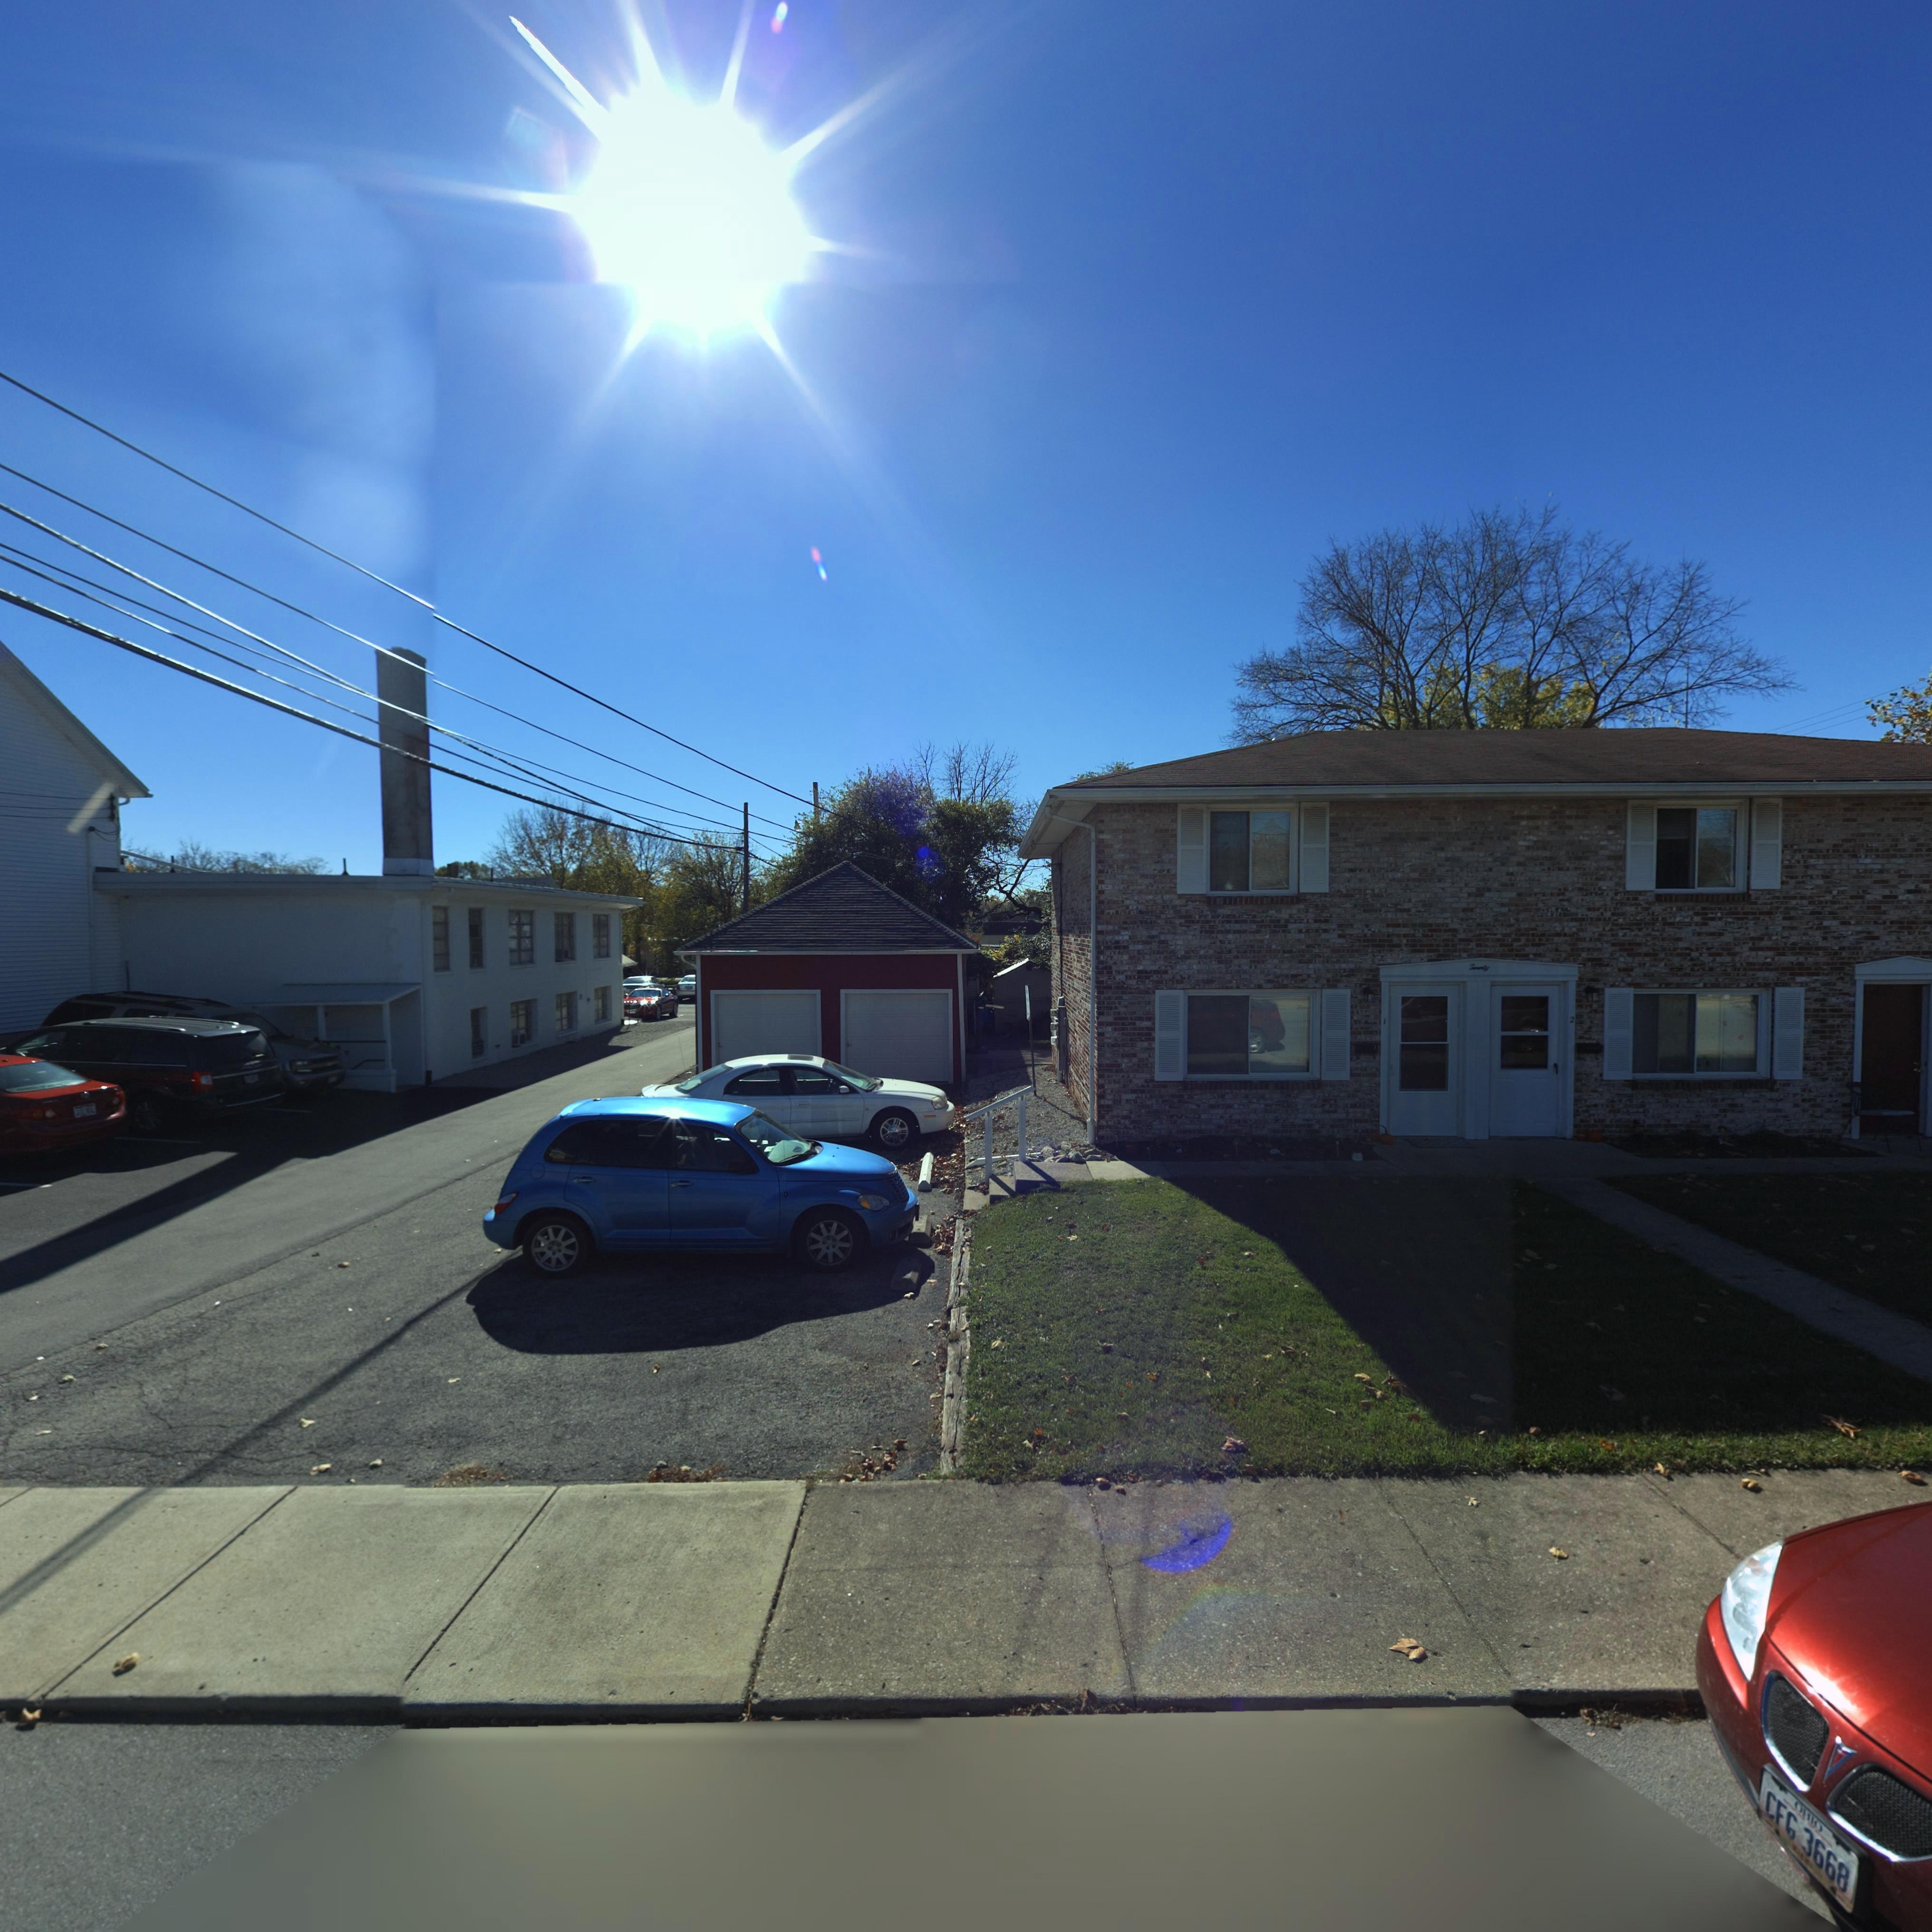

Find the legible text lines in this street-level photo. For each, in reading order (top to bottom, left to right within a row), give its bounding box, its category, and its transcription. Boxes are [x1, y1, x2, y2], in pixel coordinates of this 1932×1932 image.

[1468, 963, 1490, 972] StreetNumber: T***ty